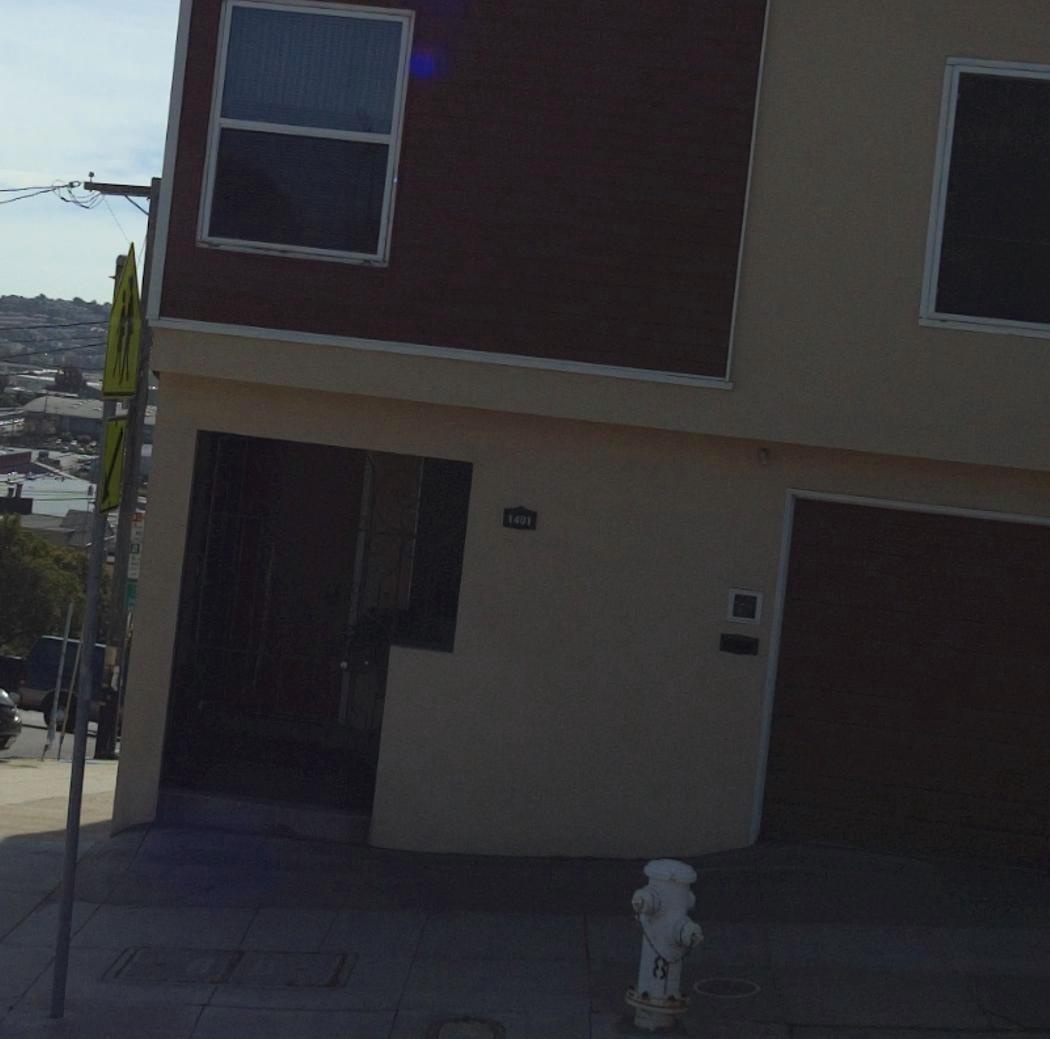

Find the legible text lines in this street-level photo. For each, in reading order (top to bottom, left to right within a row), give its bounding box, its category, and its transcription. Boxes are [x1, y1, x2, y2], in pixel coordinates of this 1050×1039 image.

[507, 512, 533, 528] StreetNumber: 1401